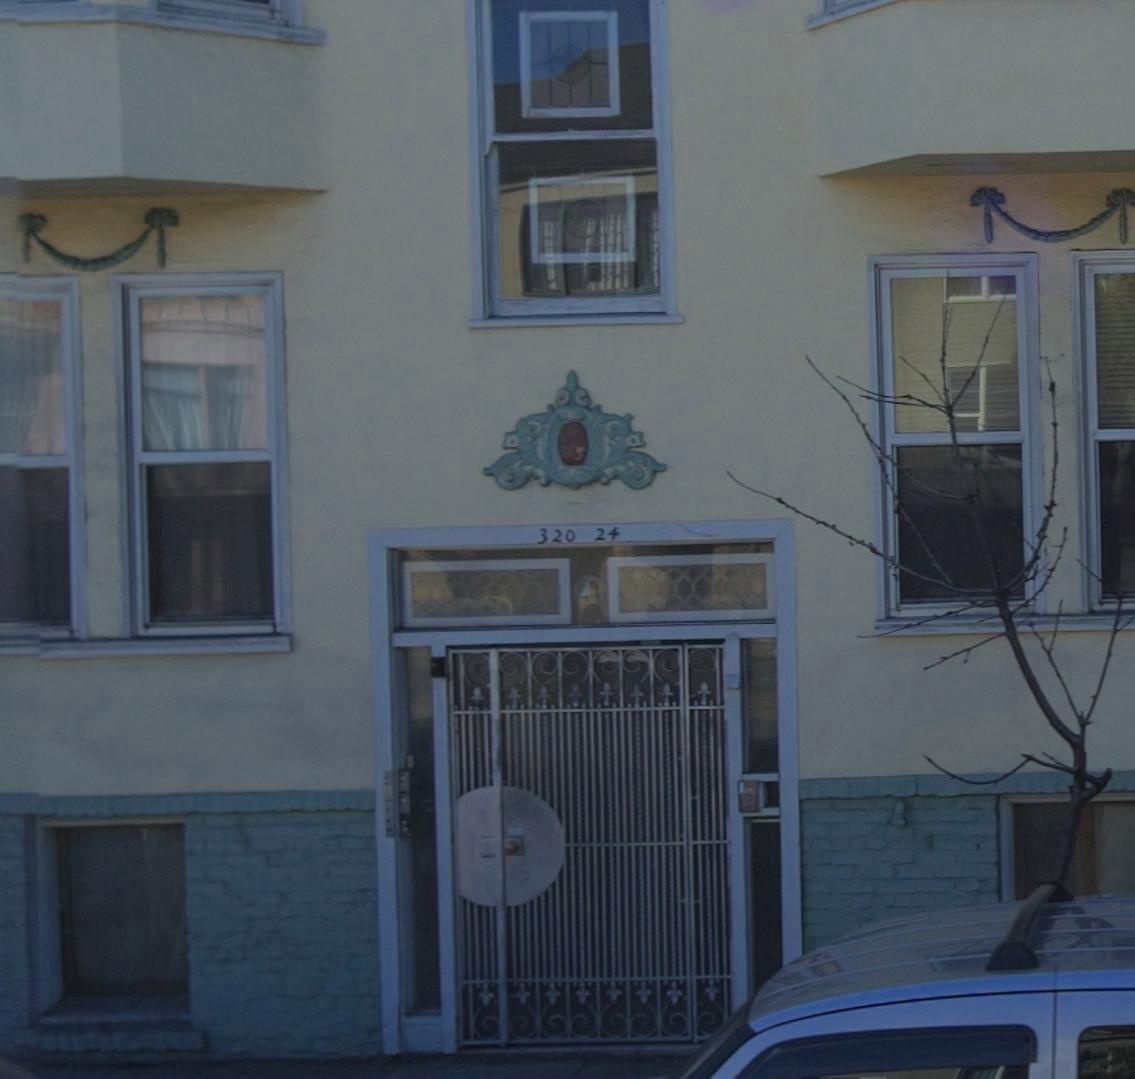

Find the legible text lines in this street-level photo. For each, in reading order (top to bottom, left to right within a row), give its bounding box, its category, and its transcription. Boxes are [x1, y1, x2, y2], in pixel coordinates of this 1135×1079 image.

[536, 526, 622, 545] StreetNumber: 320 24